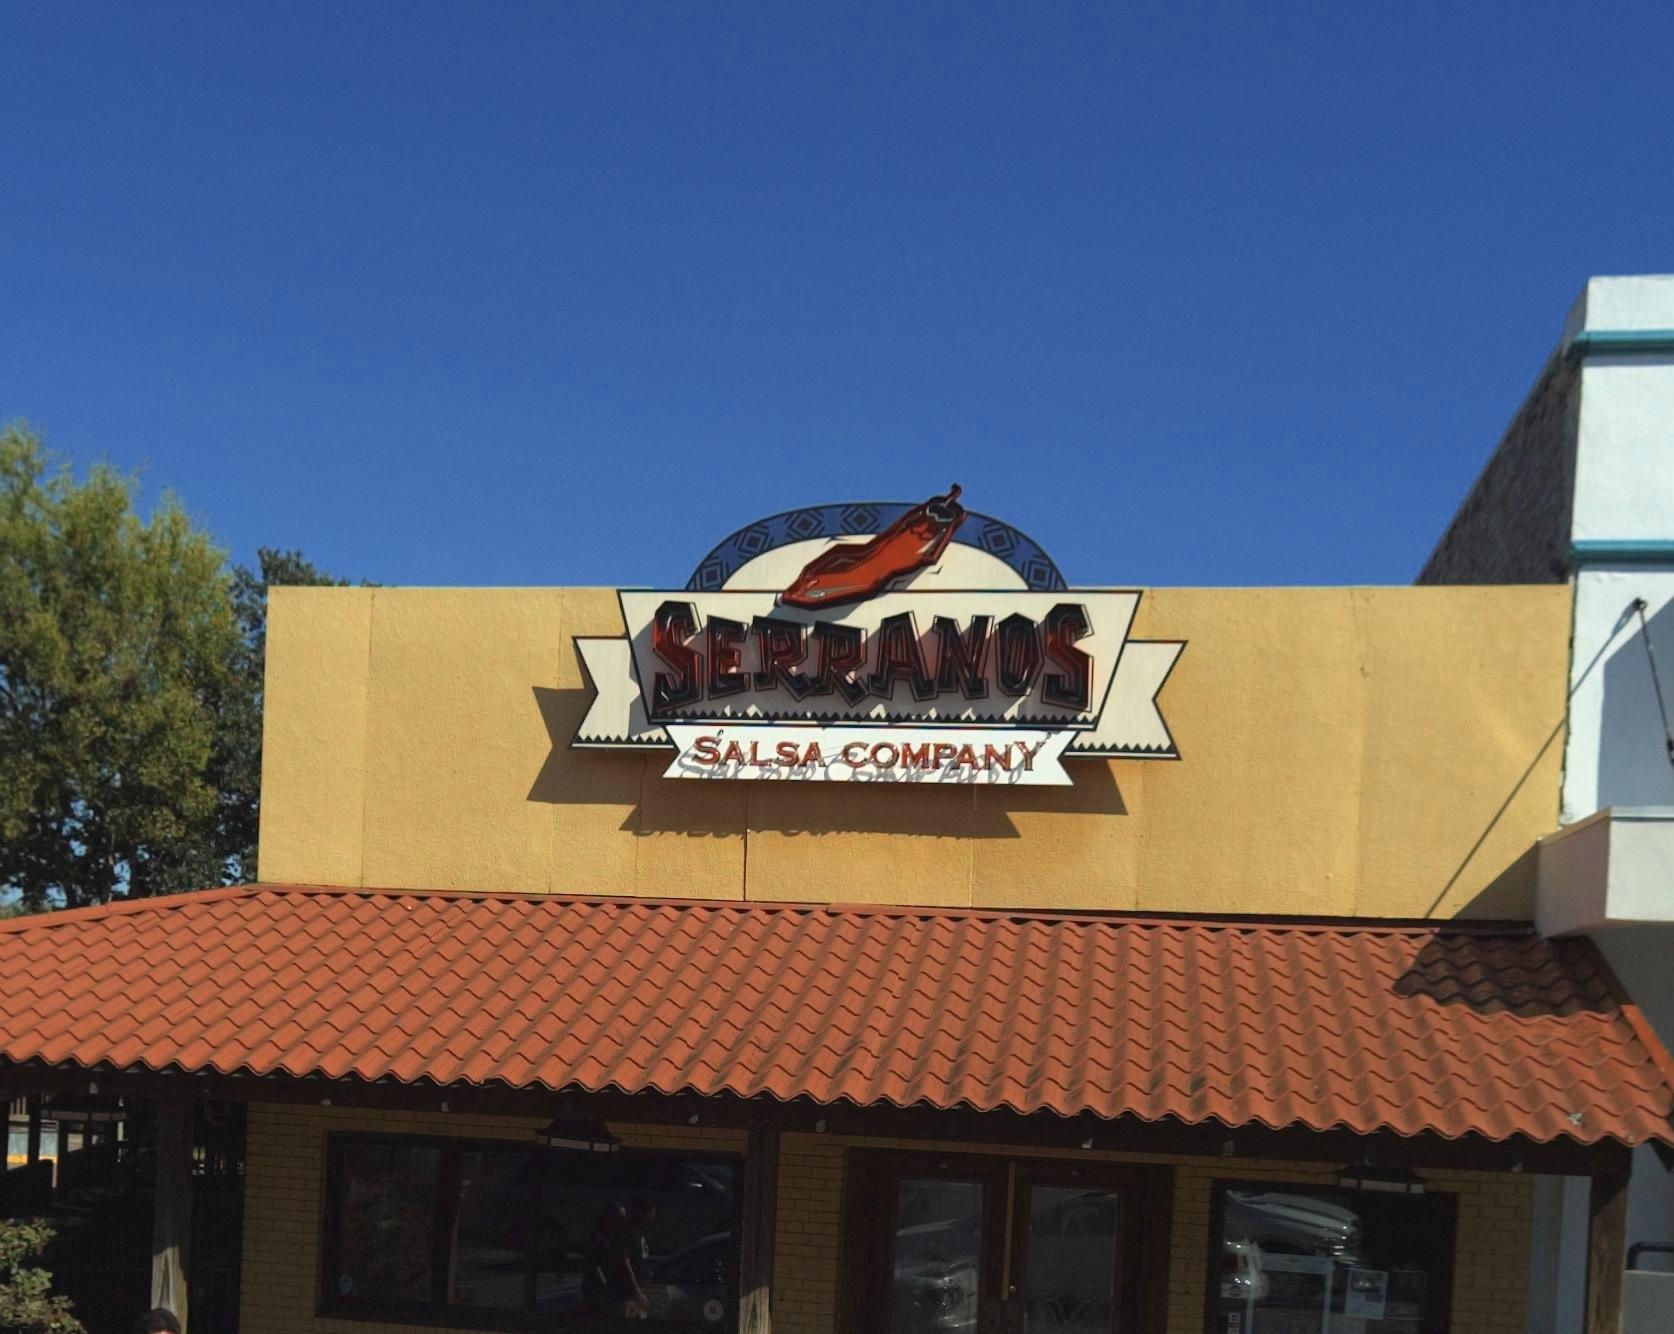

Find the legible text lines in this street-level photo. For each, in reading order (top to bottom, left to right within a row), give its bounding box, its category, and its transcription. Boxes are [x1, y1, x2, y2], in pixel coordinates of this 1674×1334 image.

[647, 599, 1097, 716] BusinessName: SERRANOS
[692, 735, 1046, 772] None: SALSA COMPANY